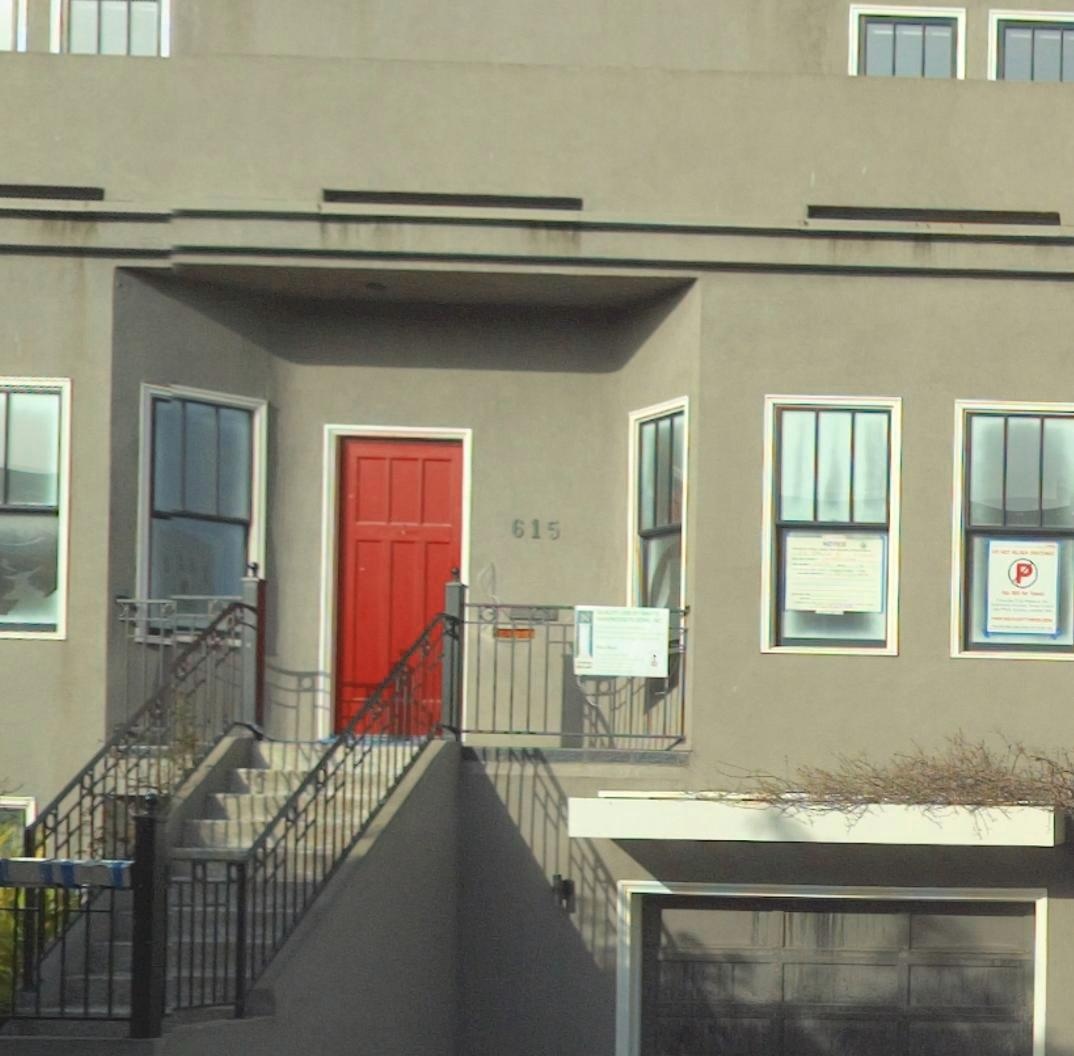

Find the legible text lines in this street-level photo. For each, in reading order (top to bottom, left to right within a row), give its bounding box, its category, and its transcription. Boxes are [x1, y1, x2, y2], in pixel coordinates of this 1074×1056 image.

[509, 515, 563, 543] StreetNumber: 615
[1012, 560, 1035, 586] None: P